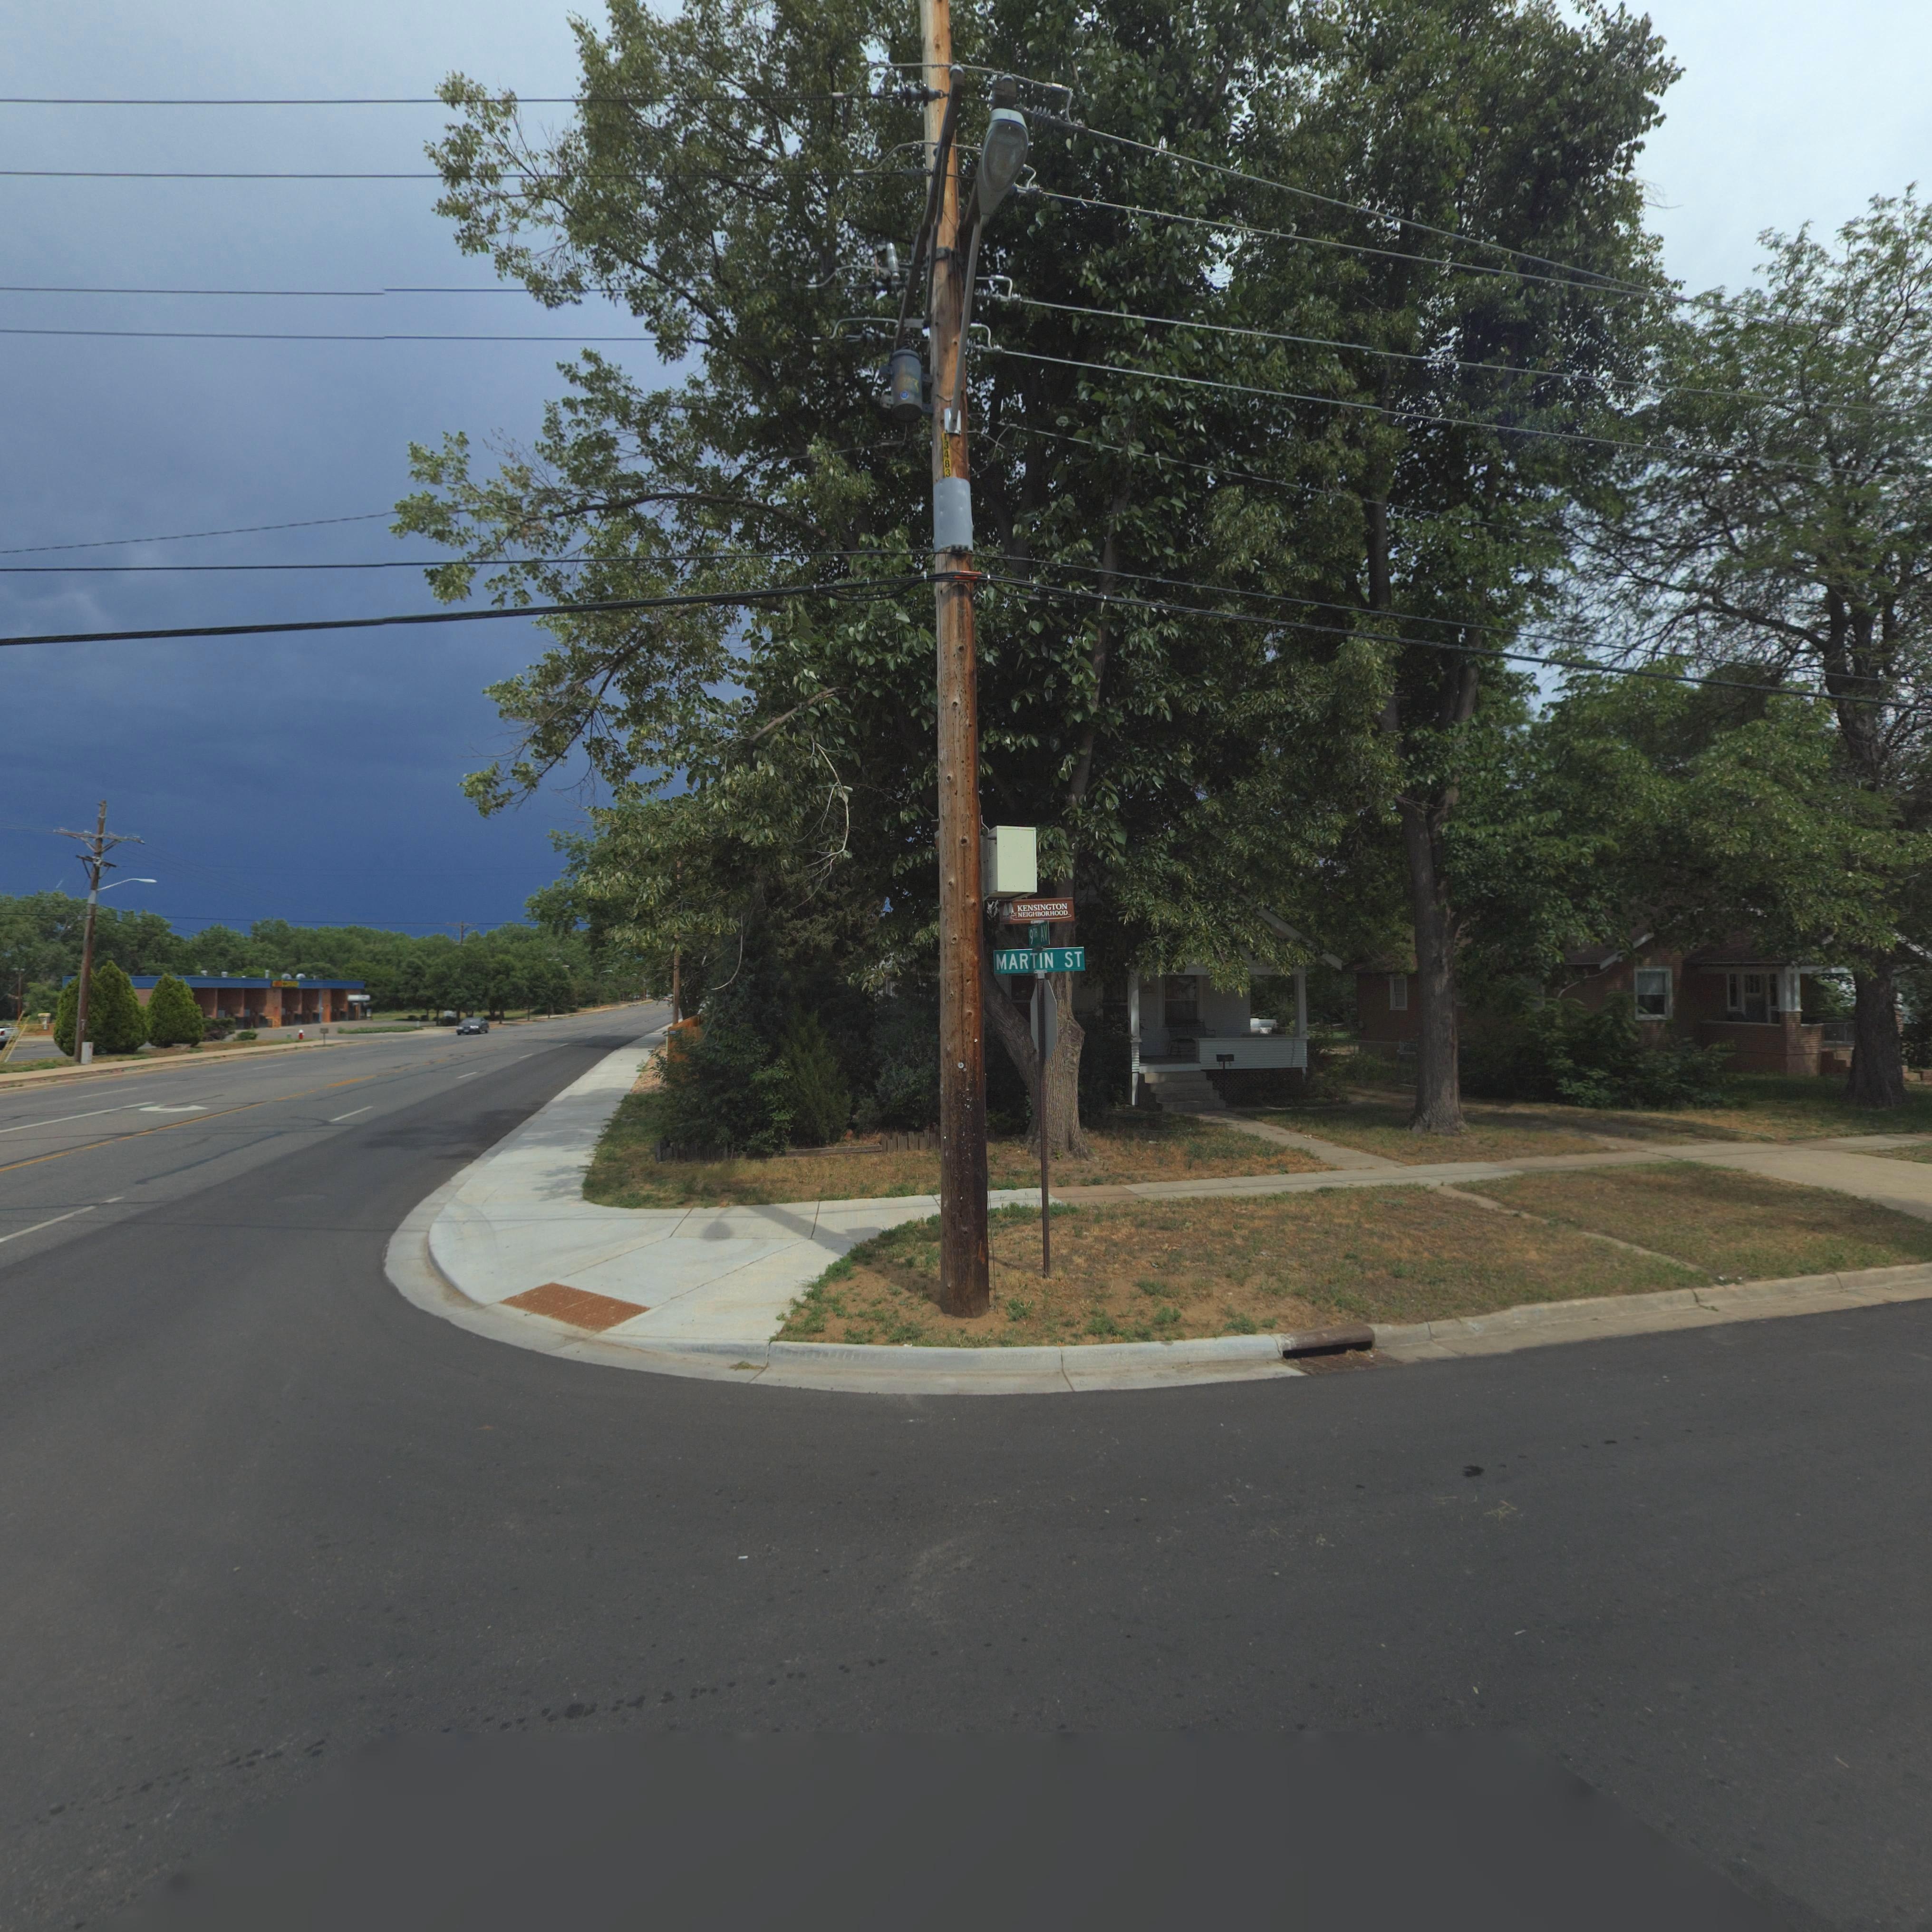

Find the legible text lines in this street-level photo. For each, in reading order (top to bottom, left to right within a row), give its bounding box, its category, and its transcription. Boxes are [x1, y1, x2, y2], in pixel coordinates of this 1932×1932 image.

[1029, 923, 1047, 945] StreetName: 9th AV
[995, 951, 1083, 970] StreetName: MARTIN ST